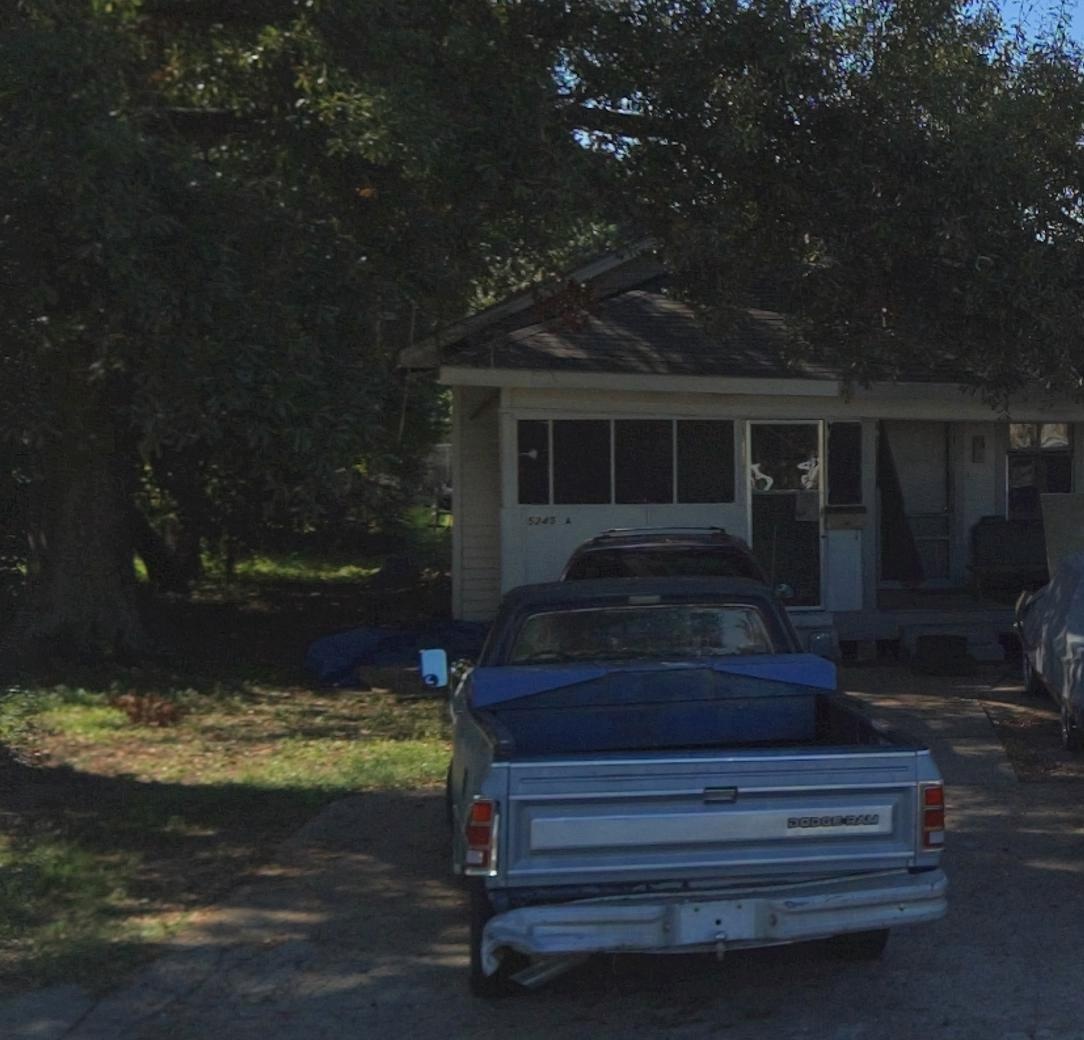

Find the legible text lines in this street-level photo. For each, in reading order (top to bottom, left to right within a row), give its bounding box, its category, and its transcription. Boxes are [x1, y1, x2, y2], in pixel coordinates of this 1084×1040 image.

[527, 515, 573, 527] StreetNumber: 5245 A
[787, 814, 879, 829] None: DOGD* RAM